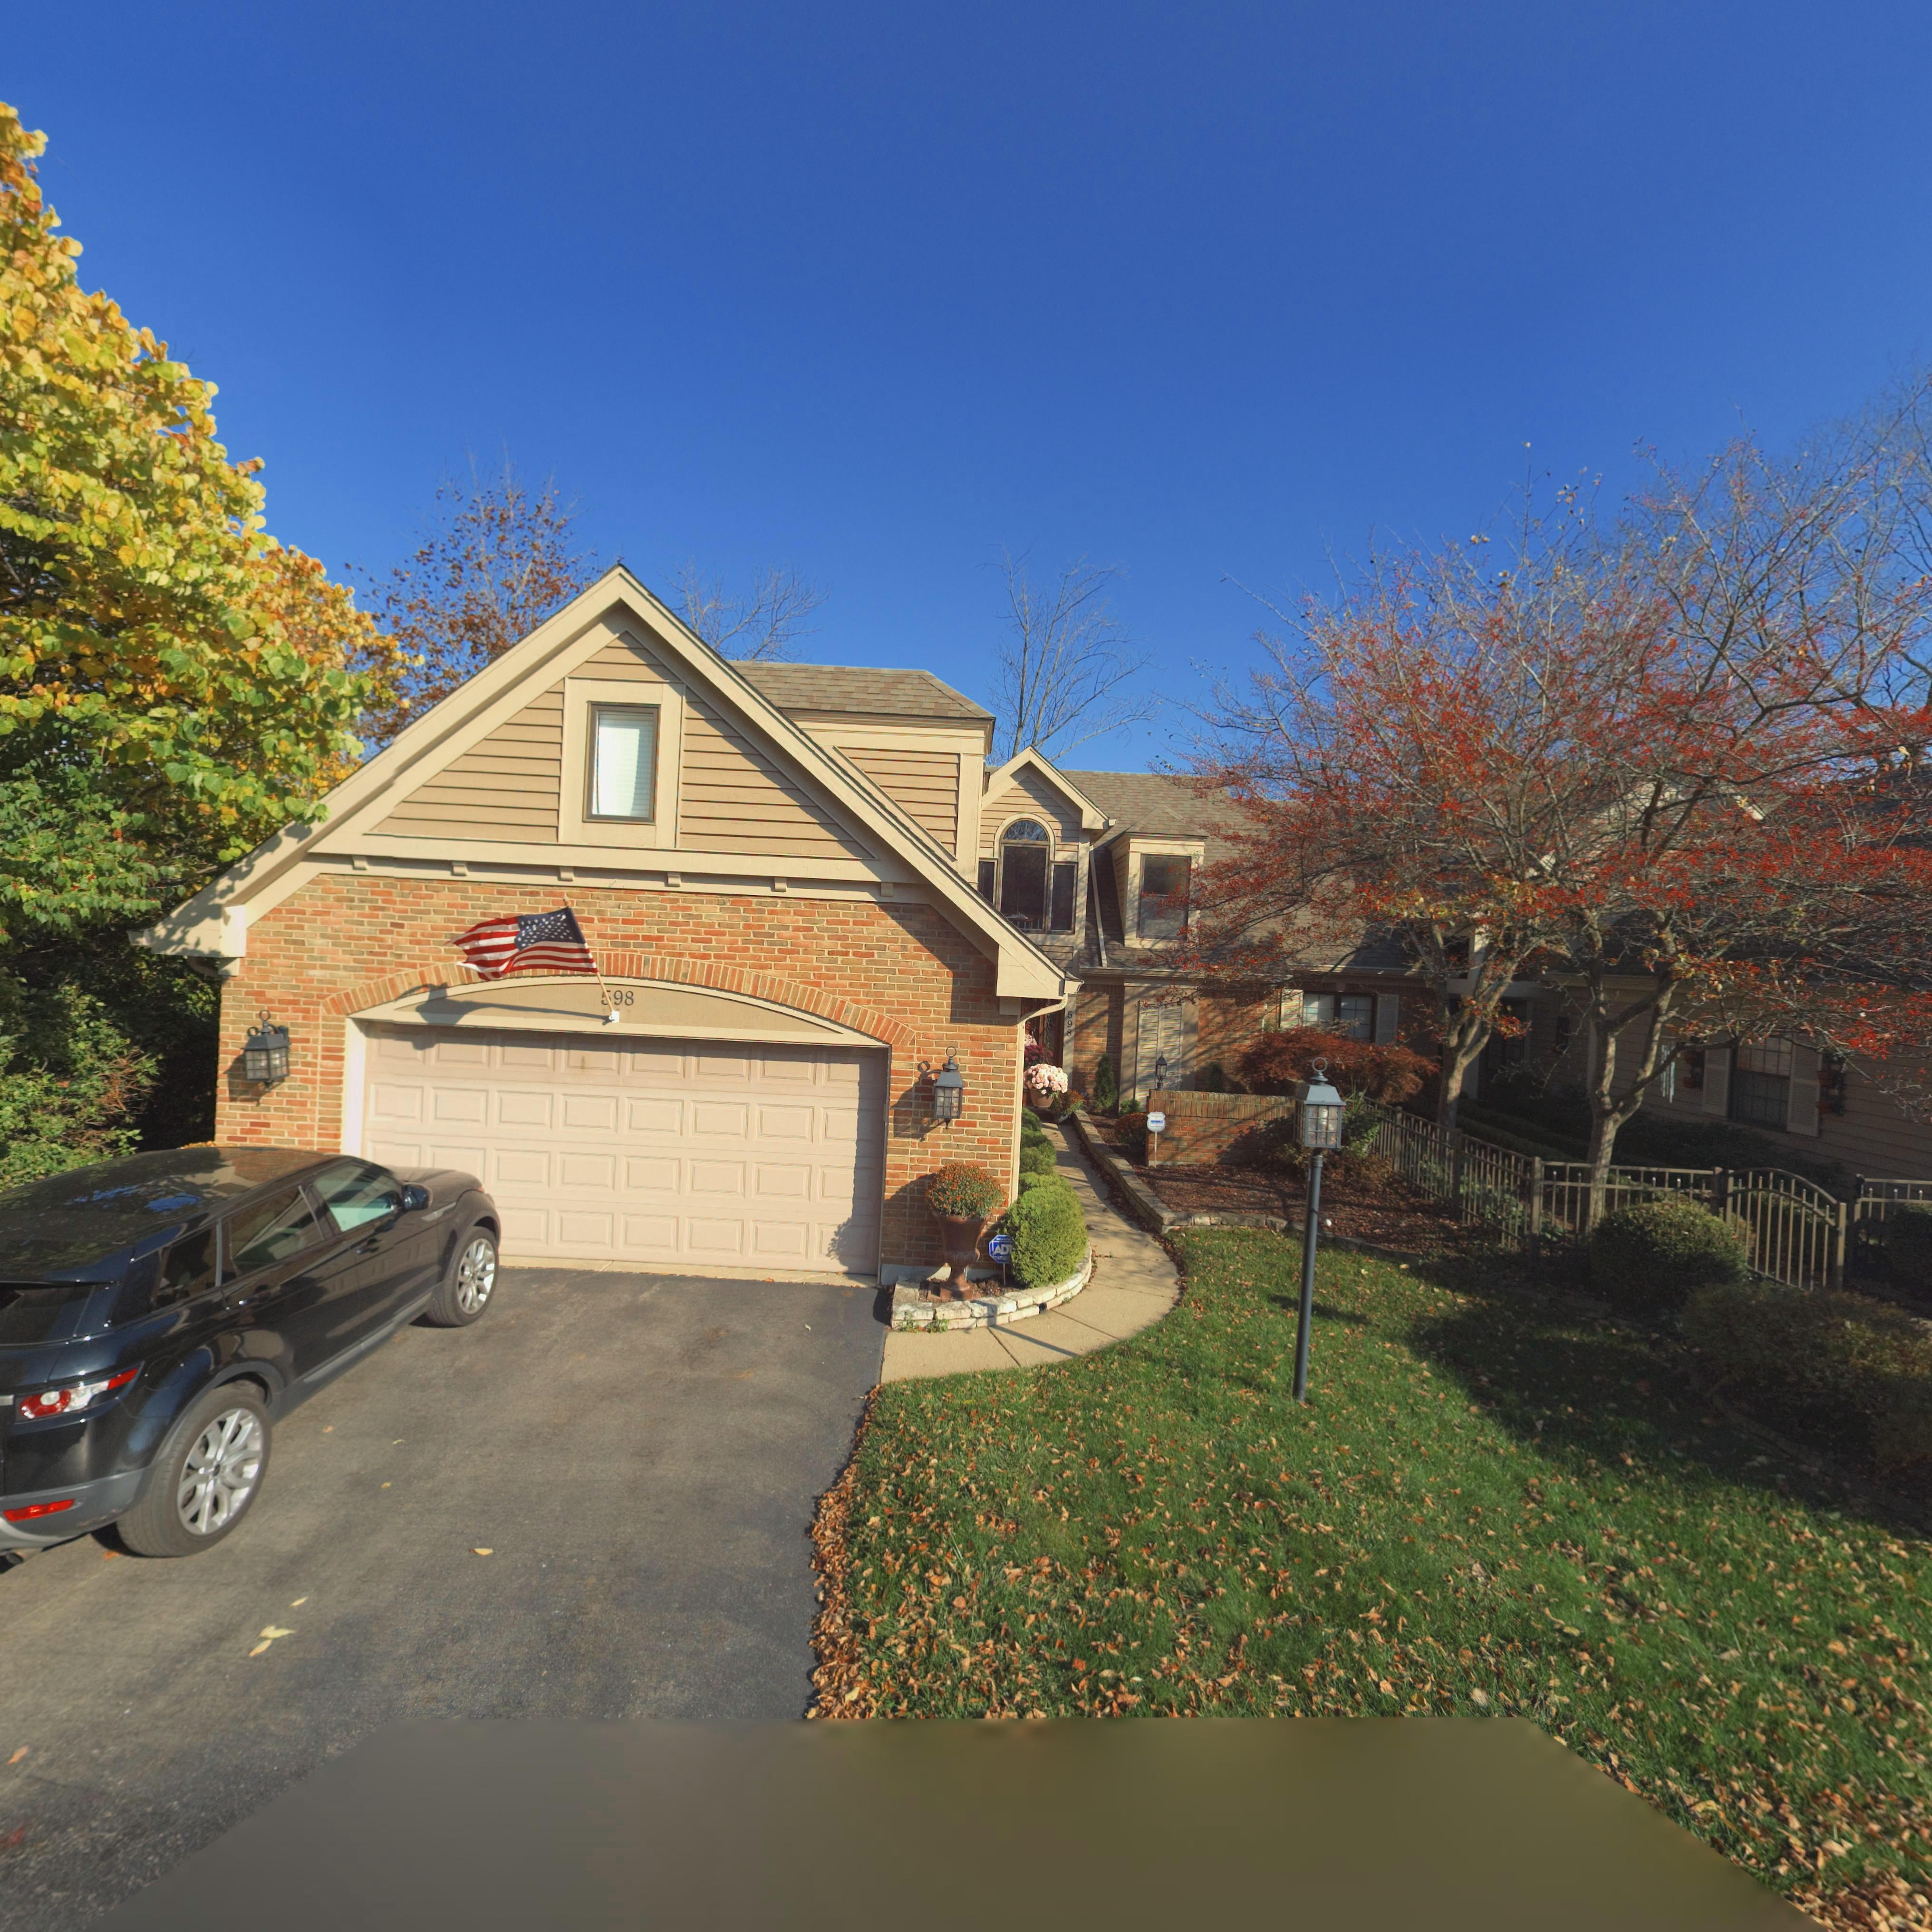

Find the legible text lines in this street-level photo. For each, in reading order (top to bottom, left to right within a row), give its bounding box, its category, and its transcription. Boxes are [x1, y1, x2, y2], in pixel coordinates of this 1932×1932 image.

[601, 989, 635, 1006] StreetNumber: 598
[1066, 1010, 1073, 1038] StreetNumber: 598